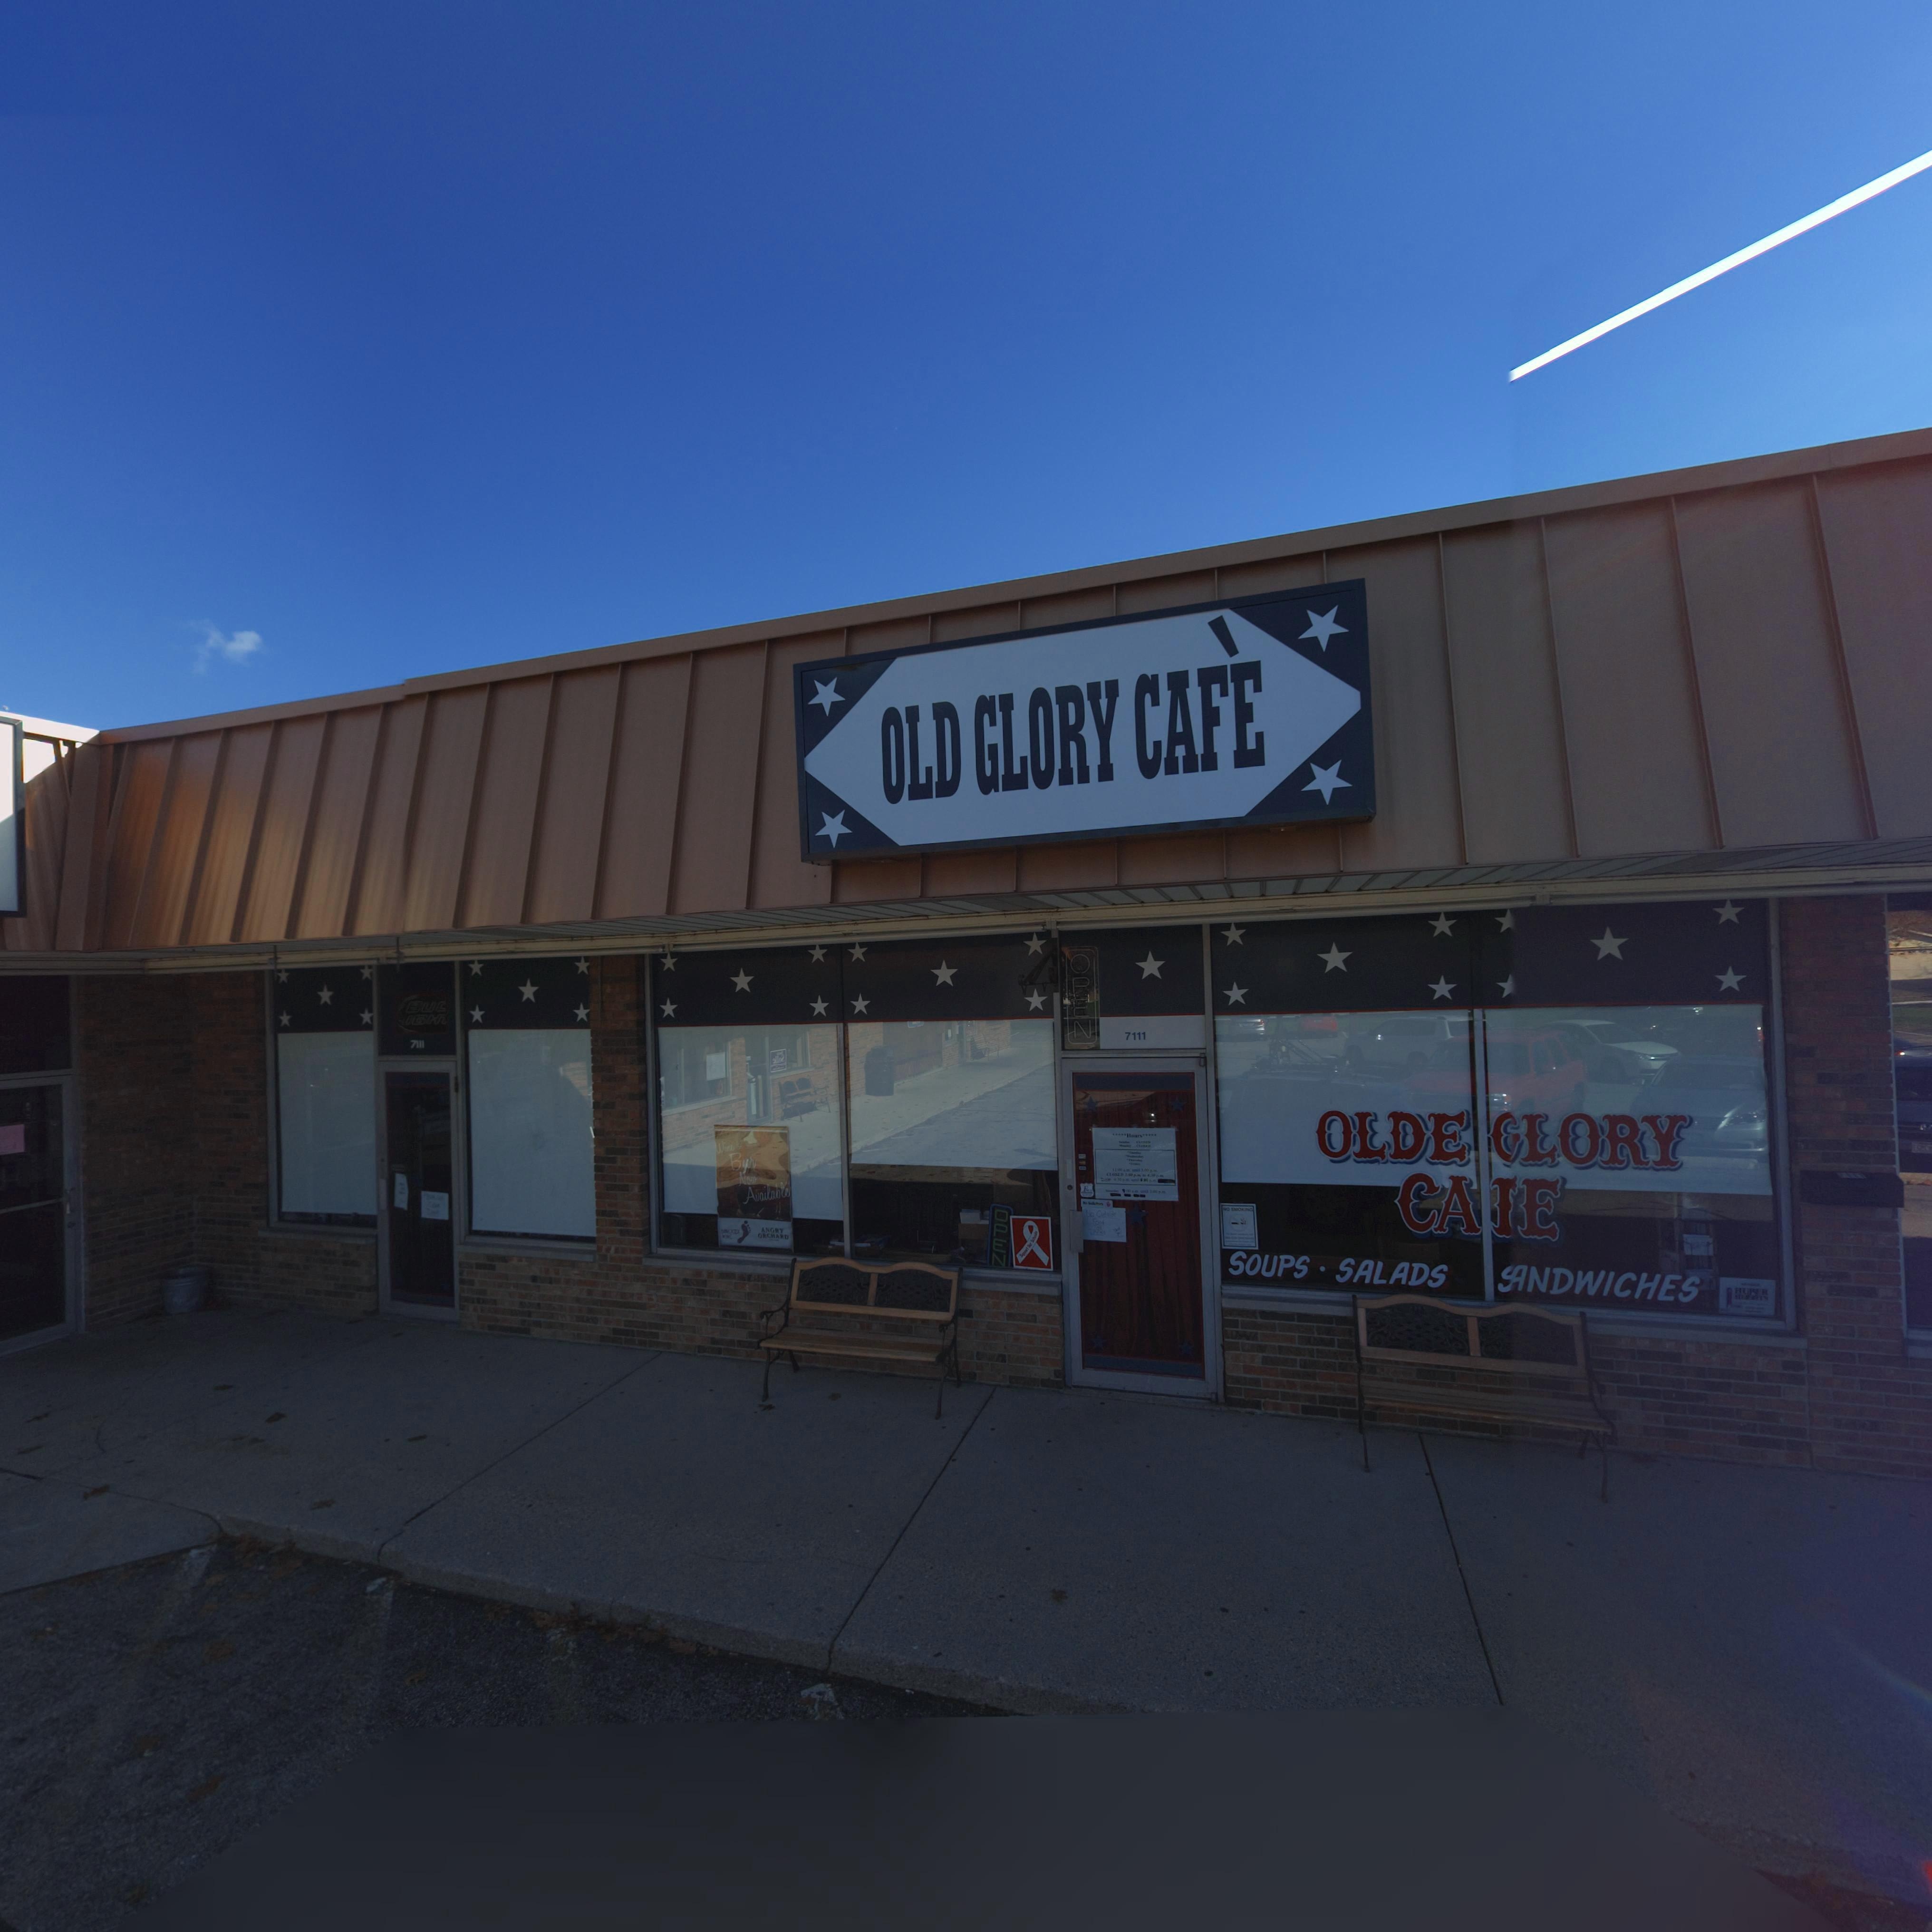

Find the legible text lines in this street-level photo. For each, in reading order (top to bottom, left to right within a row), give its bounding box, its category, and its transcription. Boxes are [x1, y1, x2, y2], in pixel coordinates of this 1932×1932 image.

[878, 658, 1268, 806] BusinessName: OLD GLORY CAFE
[410, 1039, 425, 1049] StreetNumber: 7111
[1123, 1031, 1147, 1042] StreetNumber: 7111
[1312, 1108, 1693, 1172] BusinessName: OLDE *LORY
[1391, 1169, 1565, 1244] BusinessName: CA*E